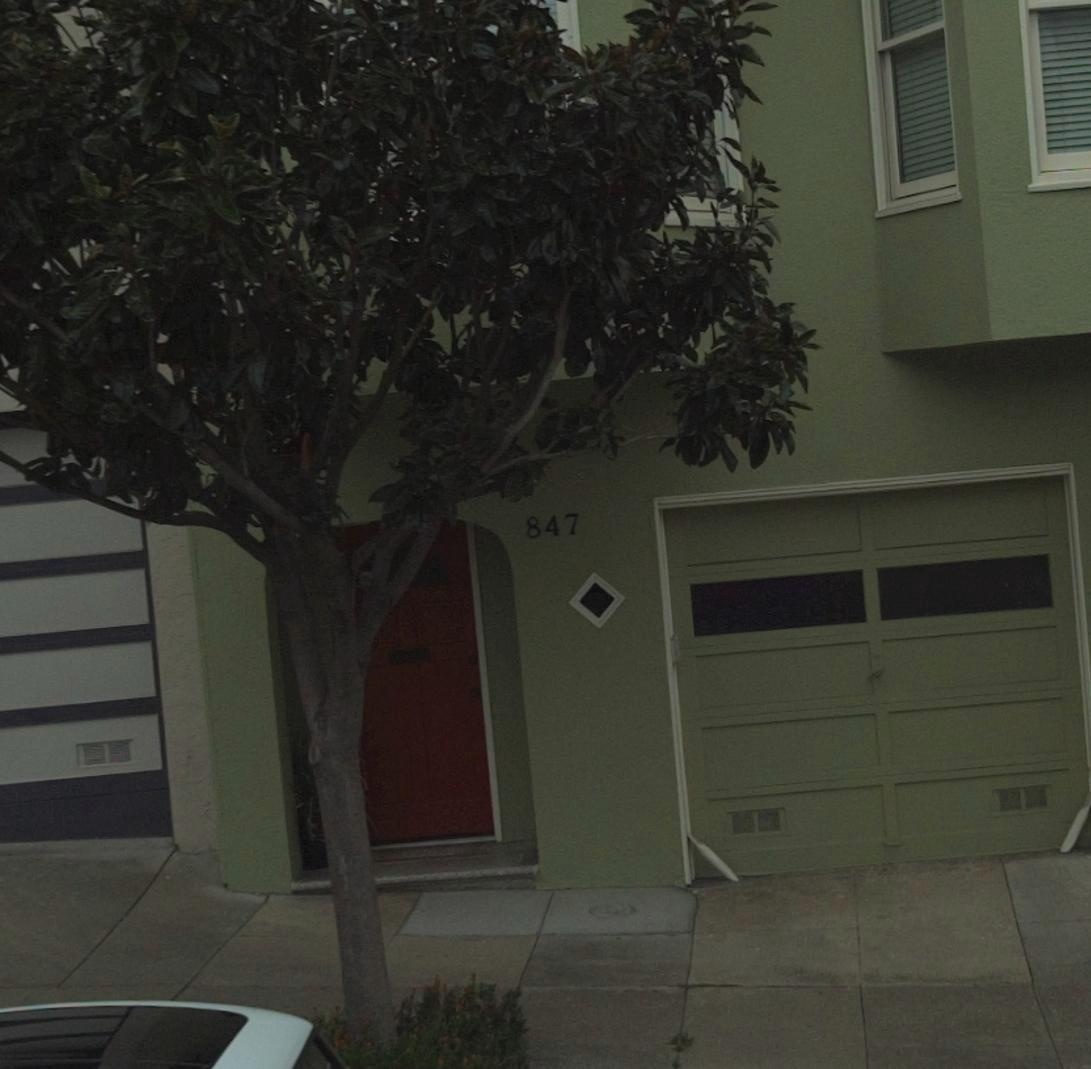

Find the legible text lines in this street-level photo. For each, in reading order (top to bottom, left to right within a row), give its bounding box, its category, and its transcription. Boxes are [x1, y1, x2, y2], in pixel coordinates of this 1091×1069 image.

[524, 511, 581, 541] StreetNumber: 847